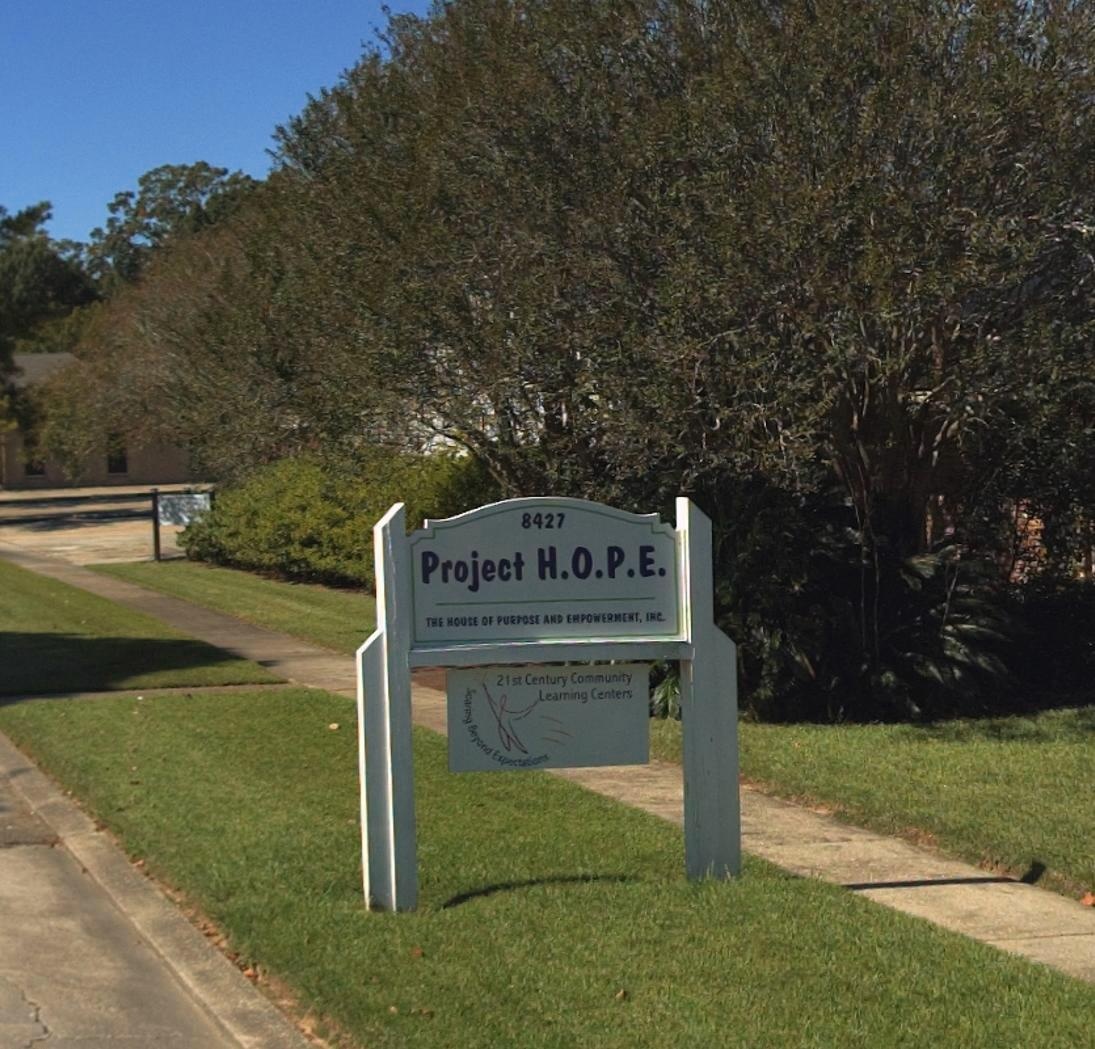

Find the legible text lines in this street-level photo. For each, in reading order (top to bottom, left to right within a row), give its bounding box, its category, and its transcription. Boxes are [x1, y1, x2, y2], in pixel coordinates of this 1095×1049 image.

[520, 511, 568, 532] StreetNumber: 5427
[418, 542, 671, 595] BusinessName: Project H.O.P.E.
[424, 609, 670, 630] BusinessName: THE HOUSE OF PURPOSE AND ENPOWERMENT, INC.
[495, 669, 636, 689] None: 21 st Century Community
[465, 684, 479, 698] None: S
[537, 685, 635, 707] None: Learning Centers
[465, 721, 554, 770] None: Beyond Expectations